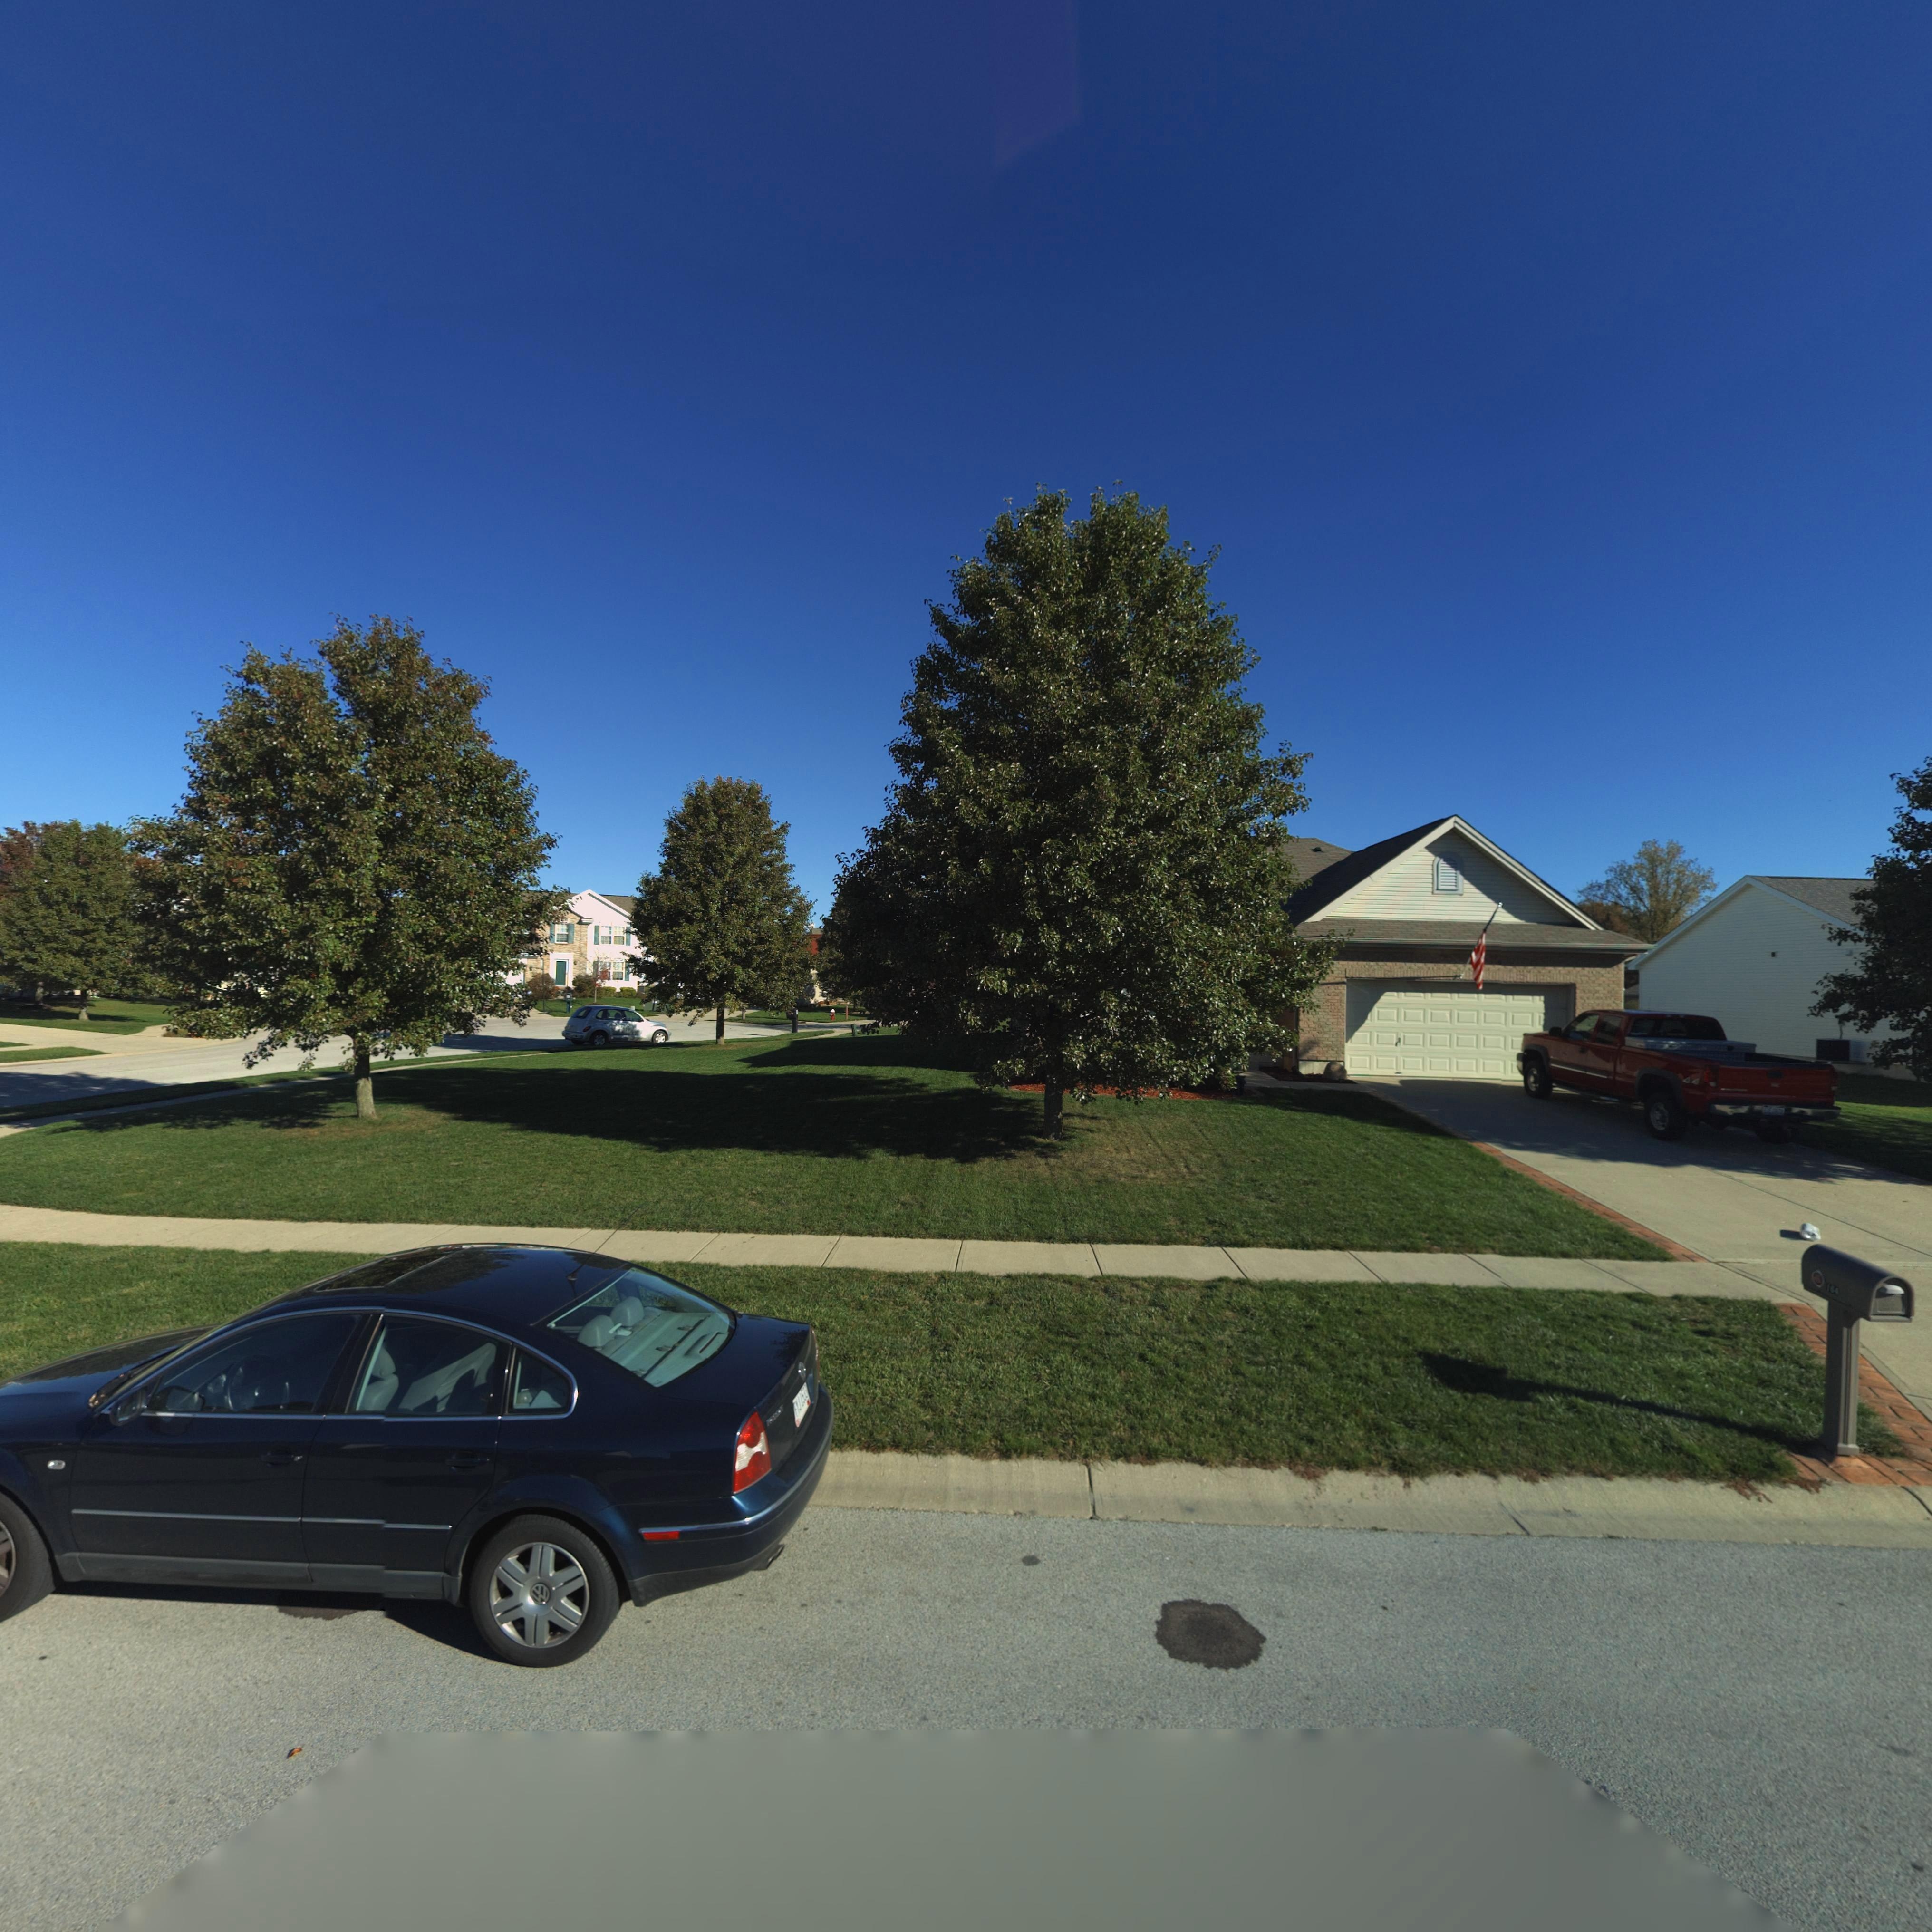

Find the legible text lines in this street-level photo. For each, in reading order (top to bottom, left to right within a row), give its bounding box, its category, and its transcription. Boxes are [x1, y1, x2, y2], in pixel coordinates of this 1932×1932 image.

[1826, 1282, 1840, 1296] StreetNumber: 154